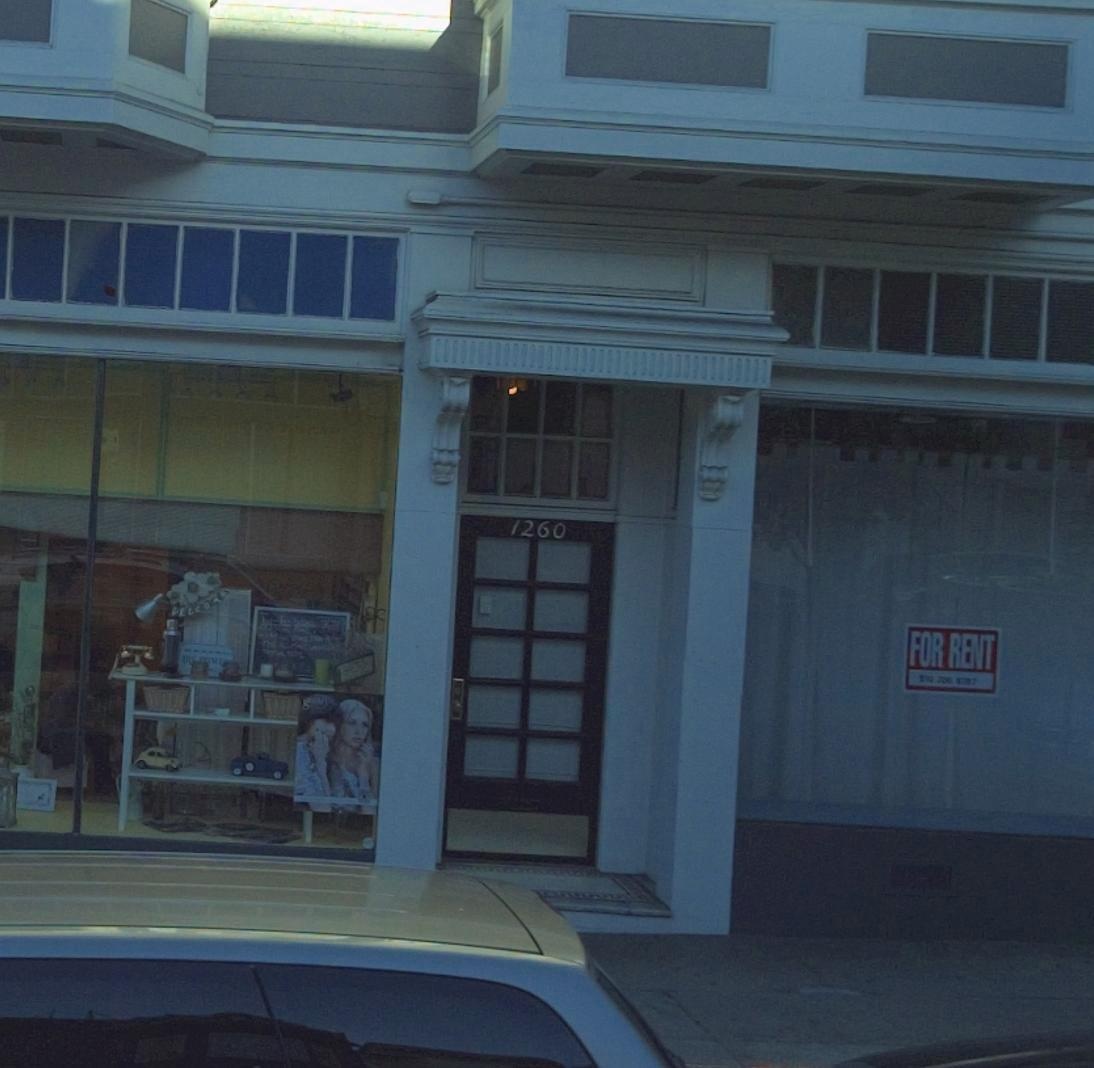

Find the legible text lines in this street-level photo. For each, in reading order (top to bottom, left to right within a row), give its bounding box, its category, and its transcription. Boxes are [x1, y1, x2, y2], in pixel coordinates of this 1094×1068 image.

[507, 516, 567, 541] StreetNumber: 1260
[908, 629, 997, 672] None: FOR RENT